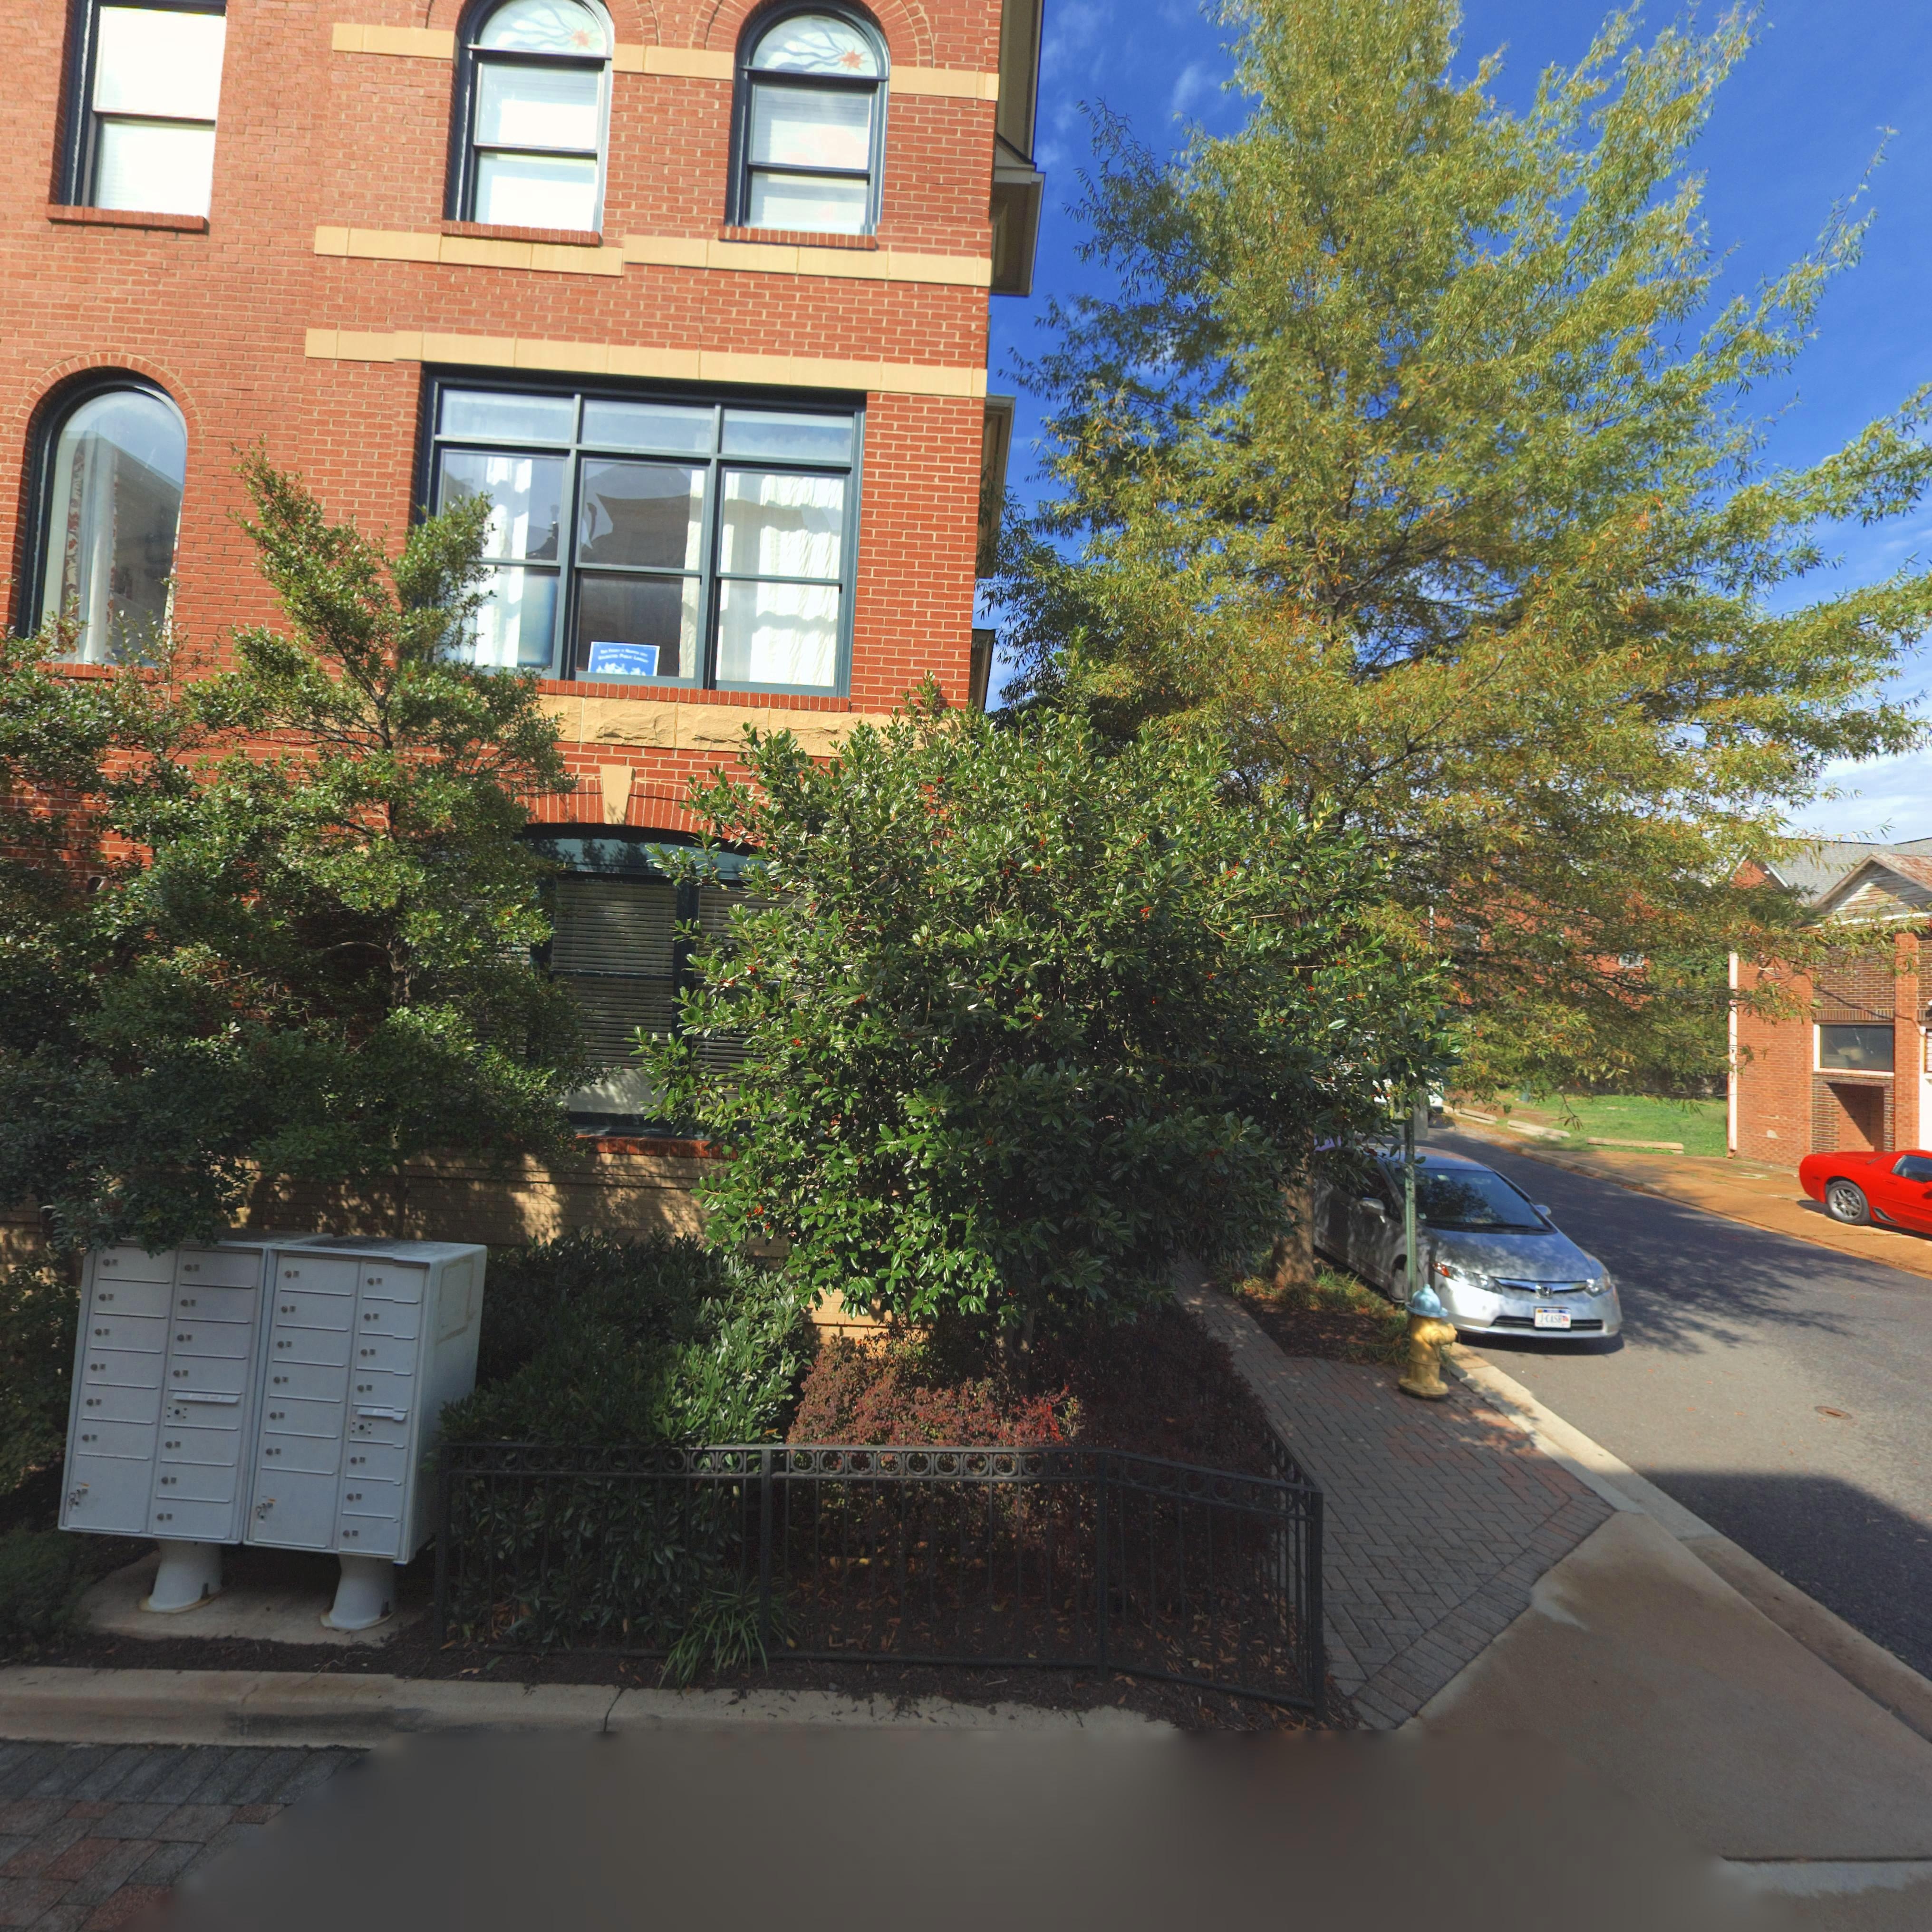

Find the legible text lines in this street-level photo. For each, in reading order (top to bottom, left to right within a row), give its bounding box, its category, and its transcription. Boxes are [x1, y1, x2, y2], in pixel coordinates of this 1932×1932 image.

[1539, 1314, 1563, 1323] None: J-CASH